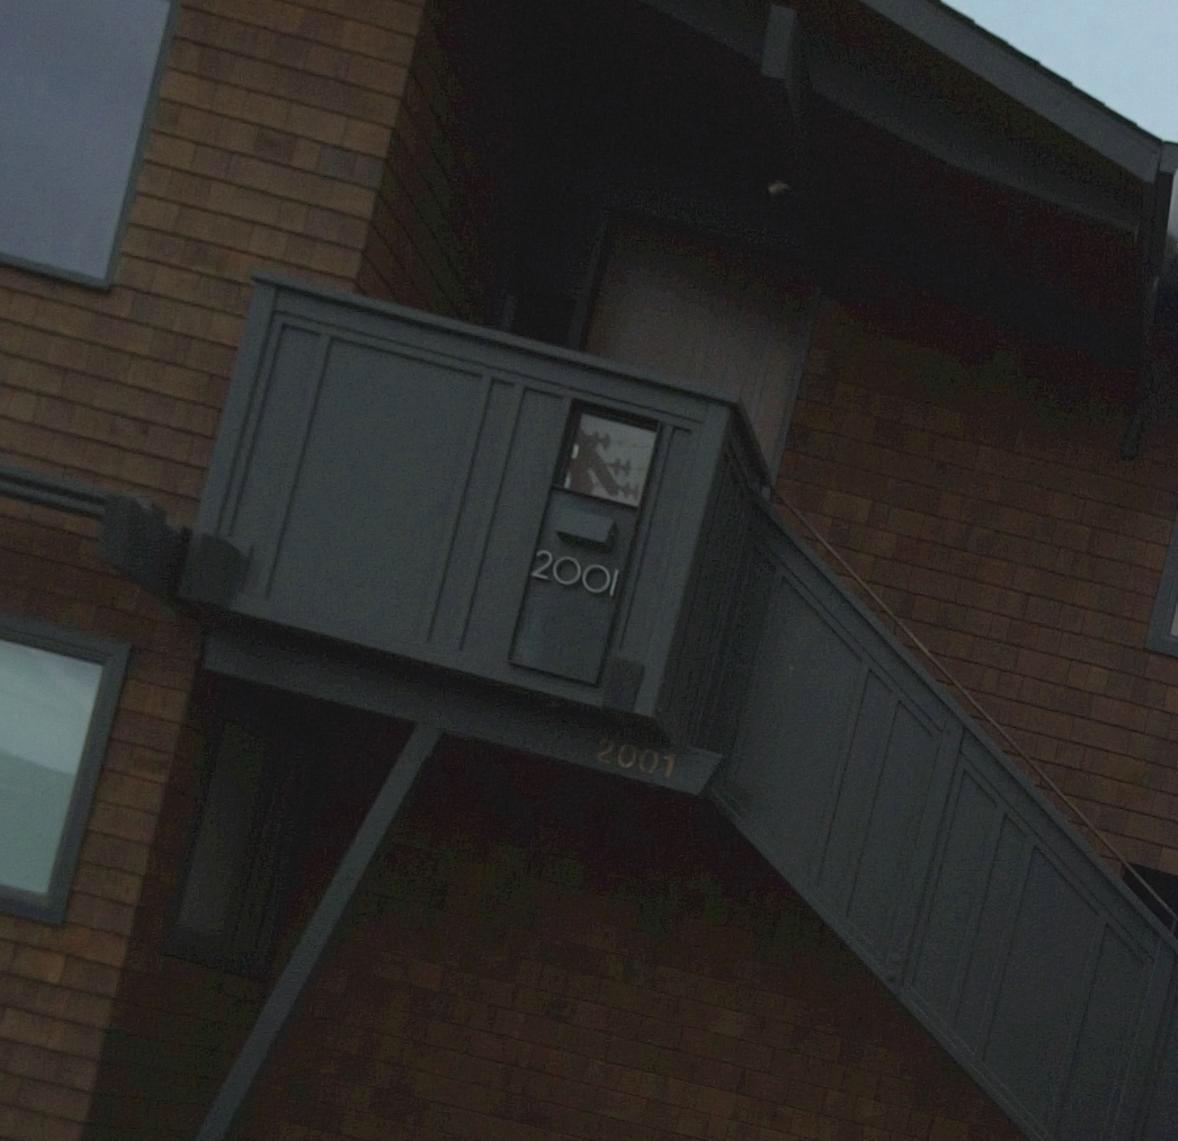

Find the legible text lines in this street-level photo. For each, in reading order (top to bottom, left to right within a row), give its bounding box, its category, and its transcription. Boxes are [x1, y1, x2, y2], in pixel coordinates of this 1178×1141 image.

[526, 546, 622, 601] StreetNumber: 2001
[593, 732, 681, 783] StreetNumber: 2001